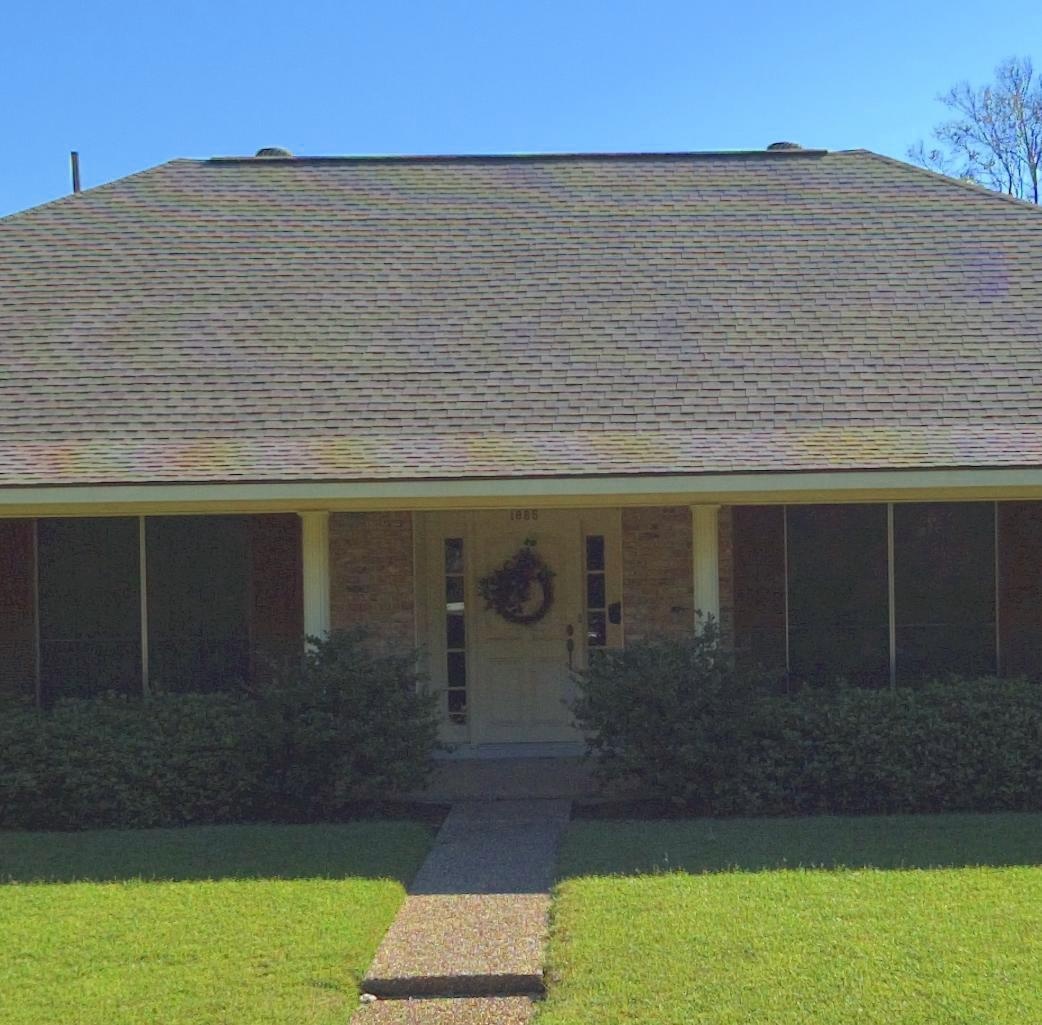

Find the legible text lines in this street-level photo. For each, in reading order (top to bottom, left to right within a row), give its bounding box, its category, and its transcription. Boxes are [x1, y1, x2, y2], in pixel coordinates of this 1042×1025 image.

[508, 507, 540, 523] StreetNumber: 1885